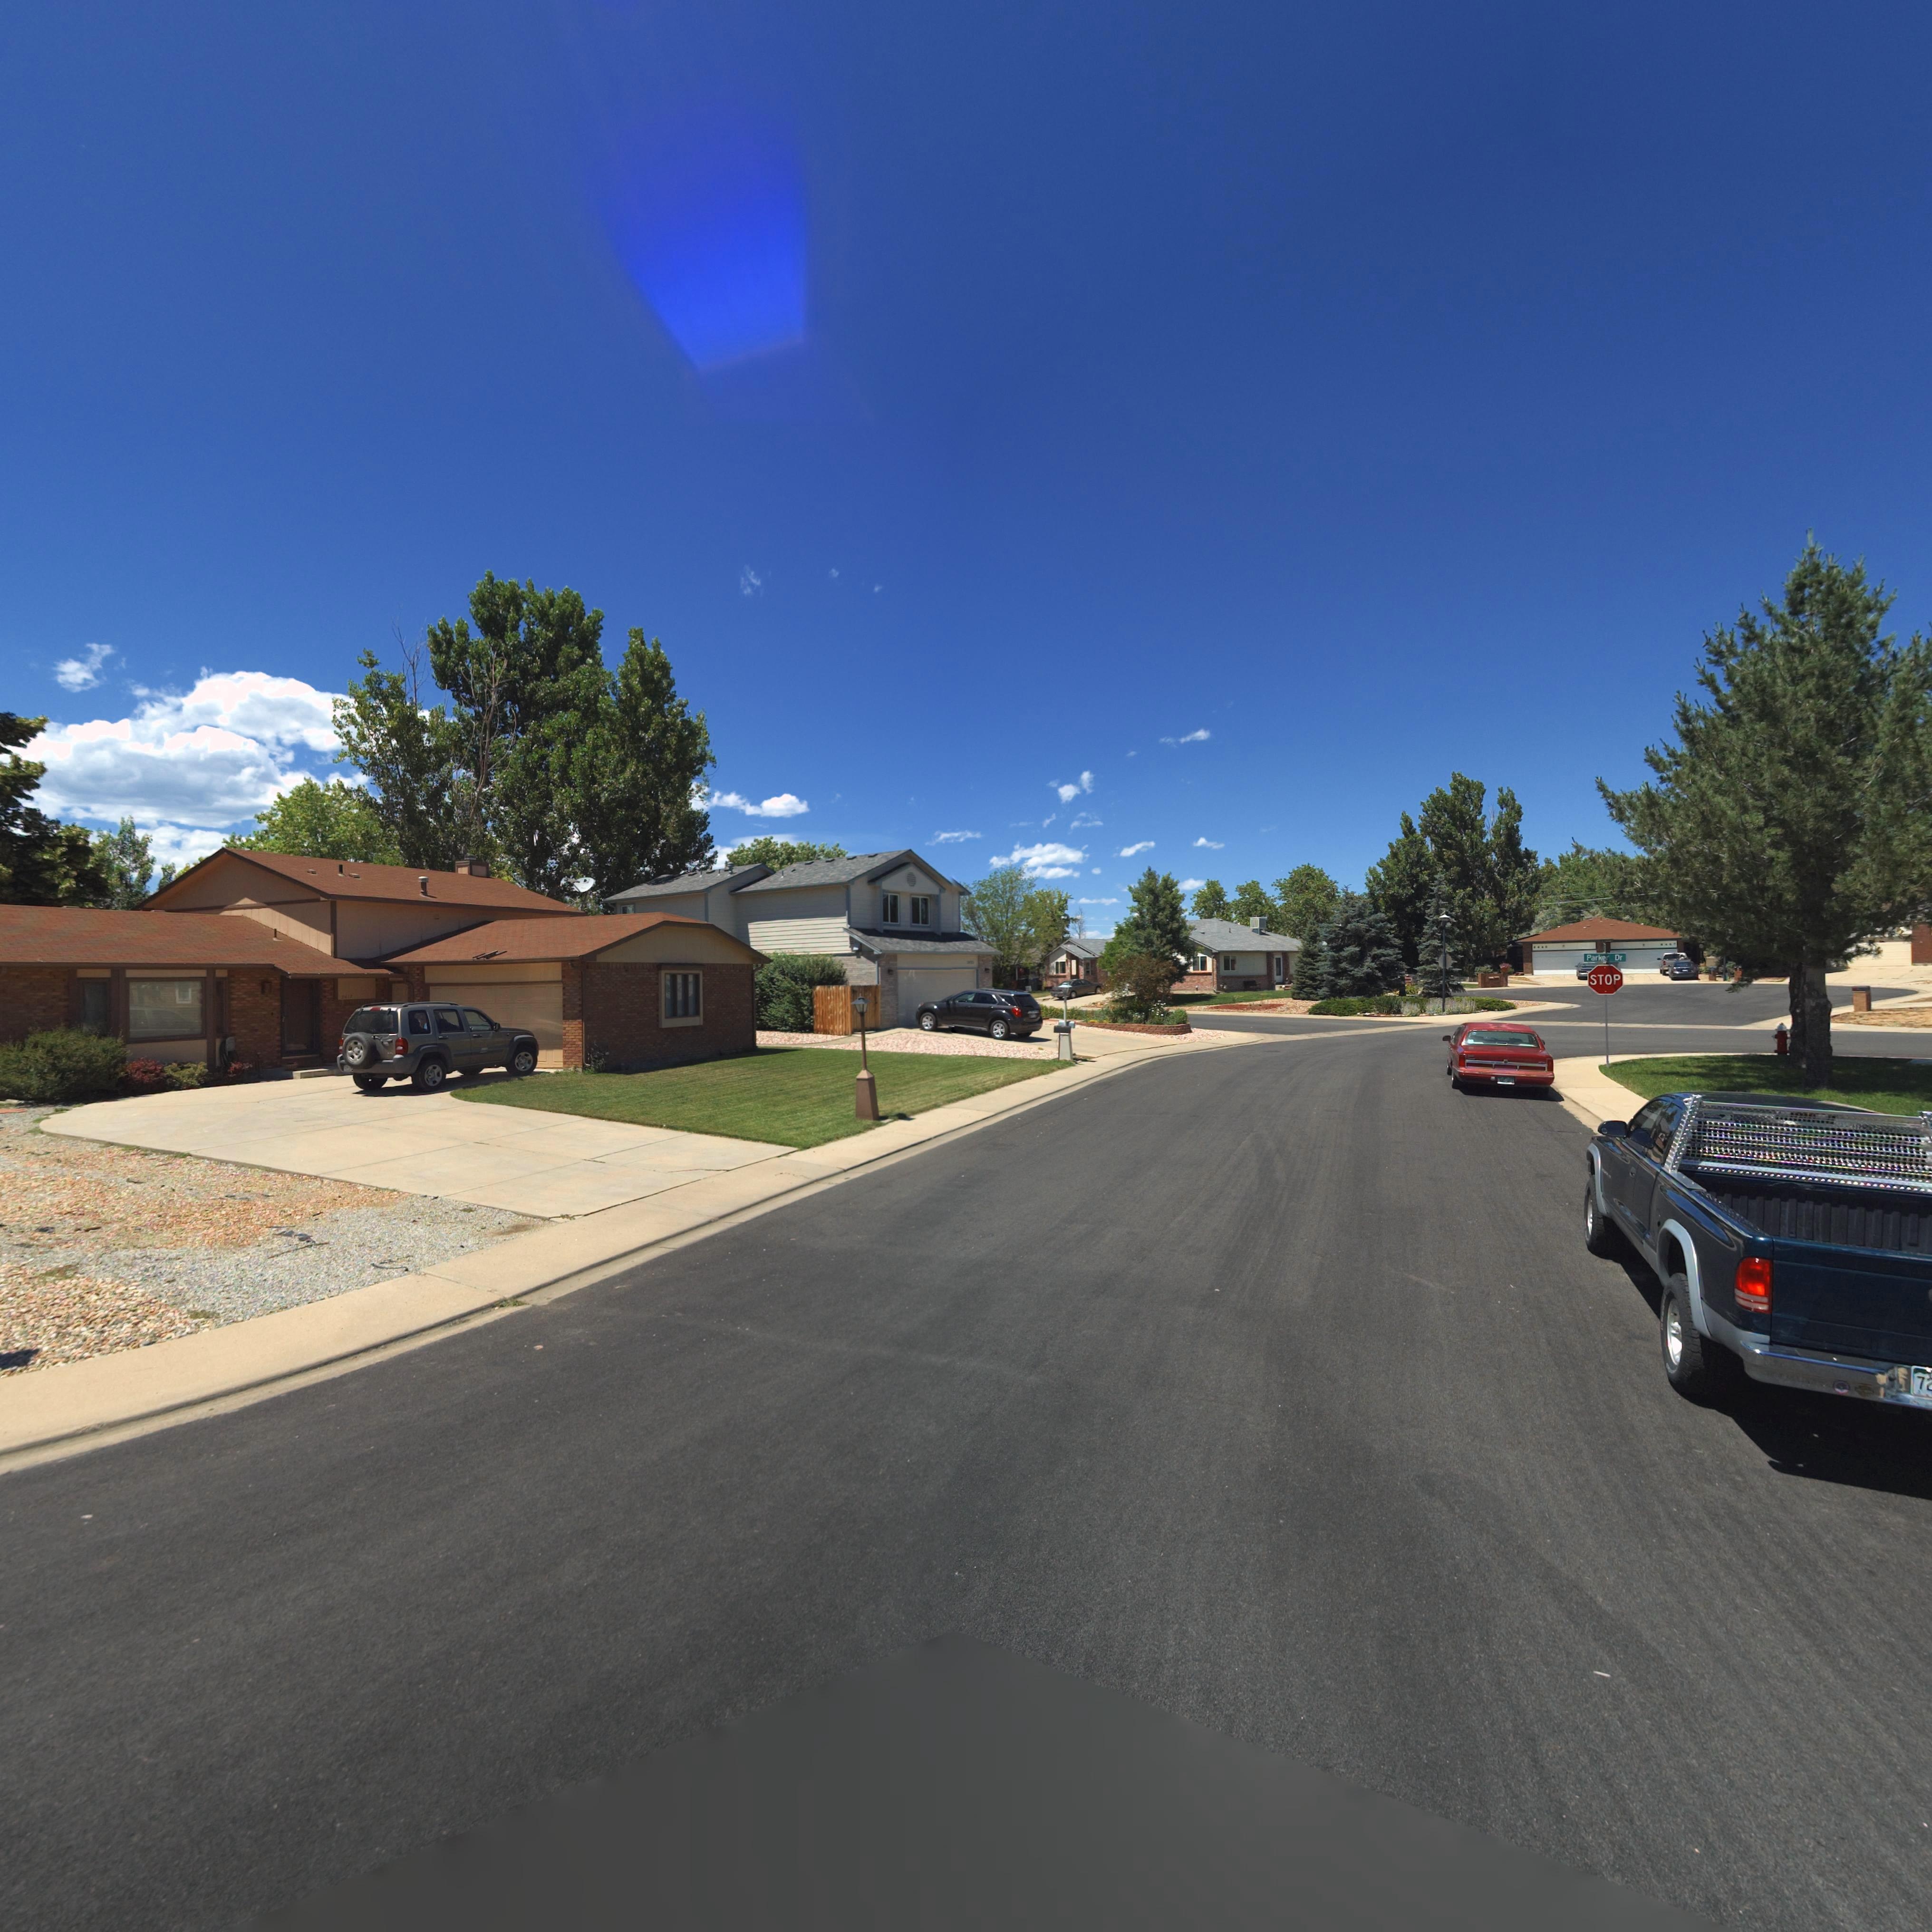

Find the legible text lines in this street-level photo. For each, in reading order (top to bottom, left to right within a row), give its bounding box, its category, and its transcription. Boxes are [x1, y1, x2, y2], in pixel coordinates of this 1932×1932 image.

[1586, 954, 1623, 961] StreetName: Parker Dr
[340, 994, 353, 999] StreetNumber: 241*